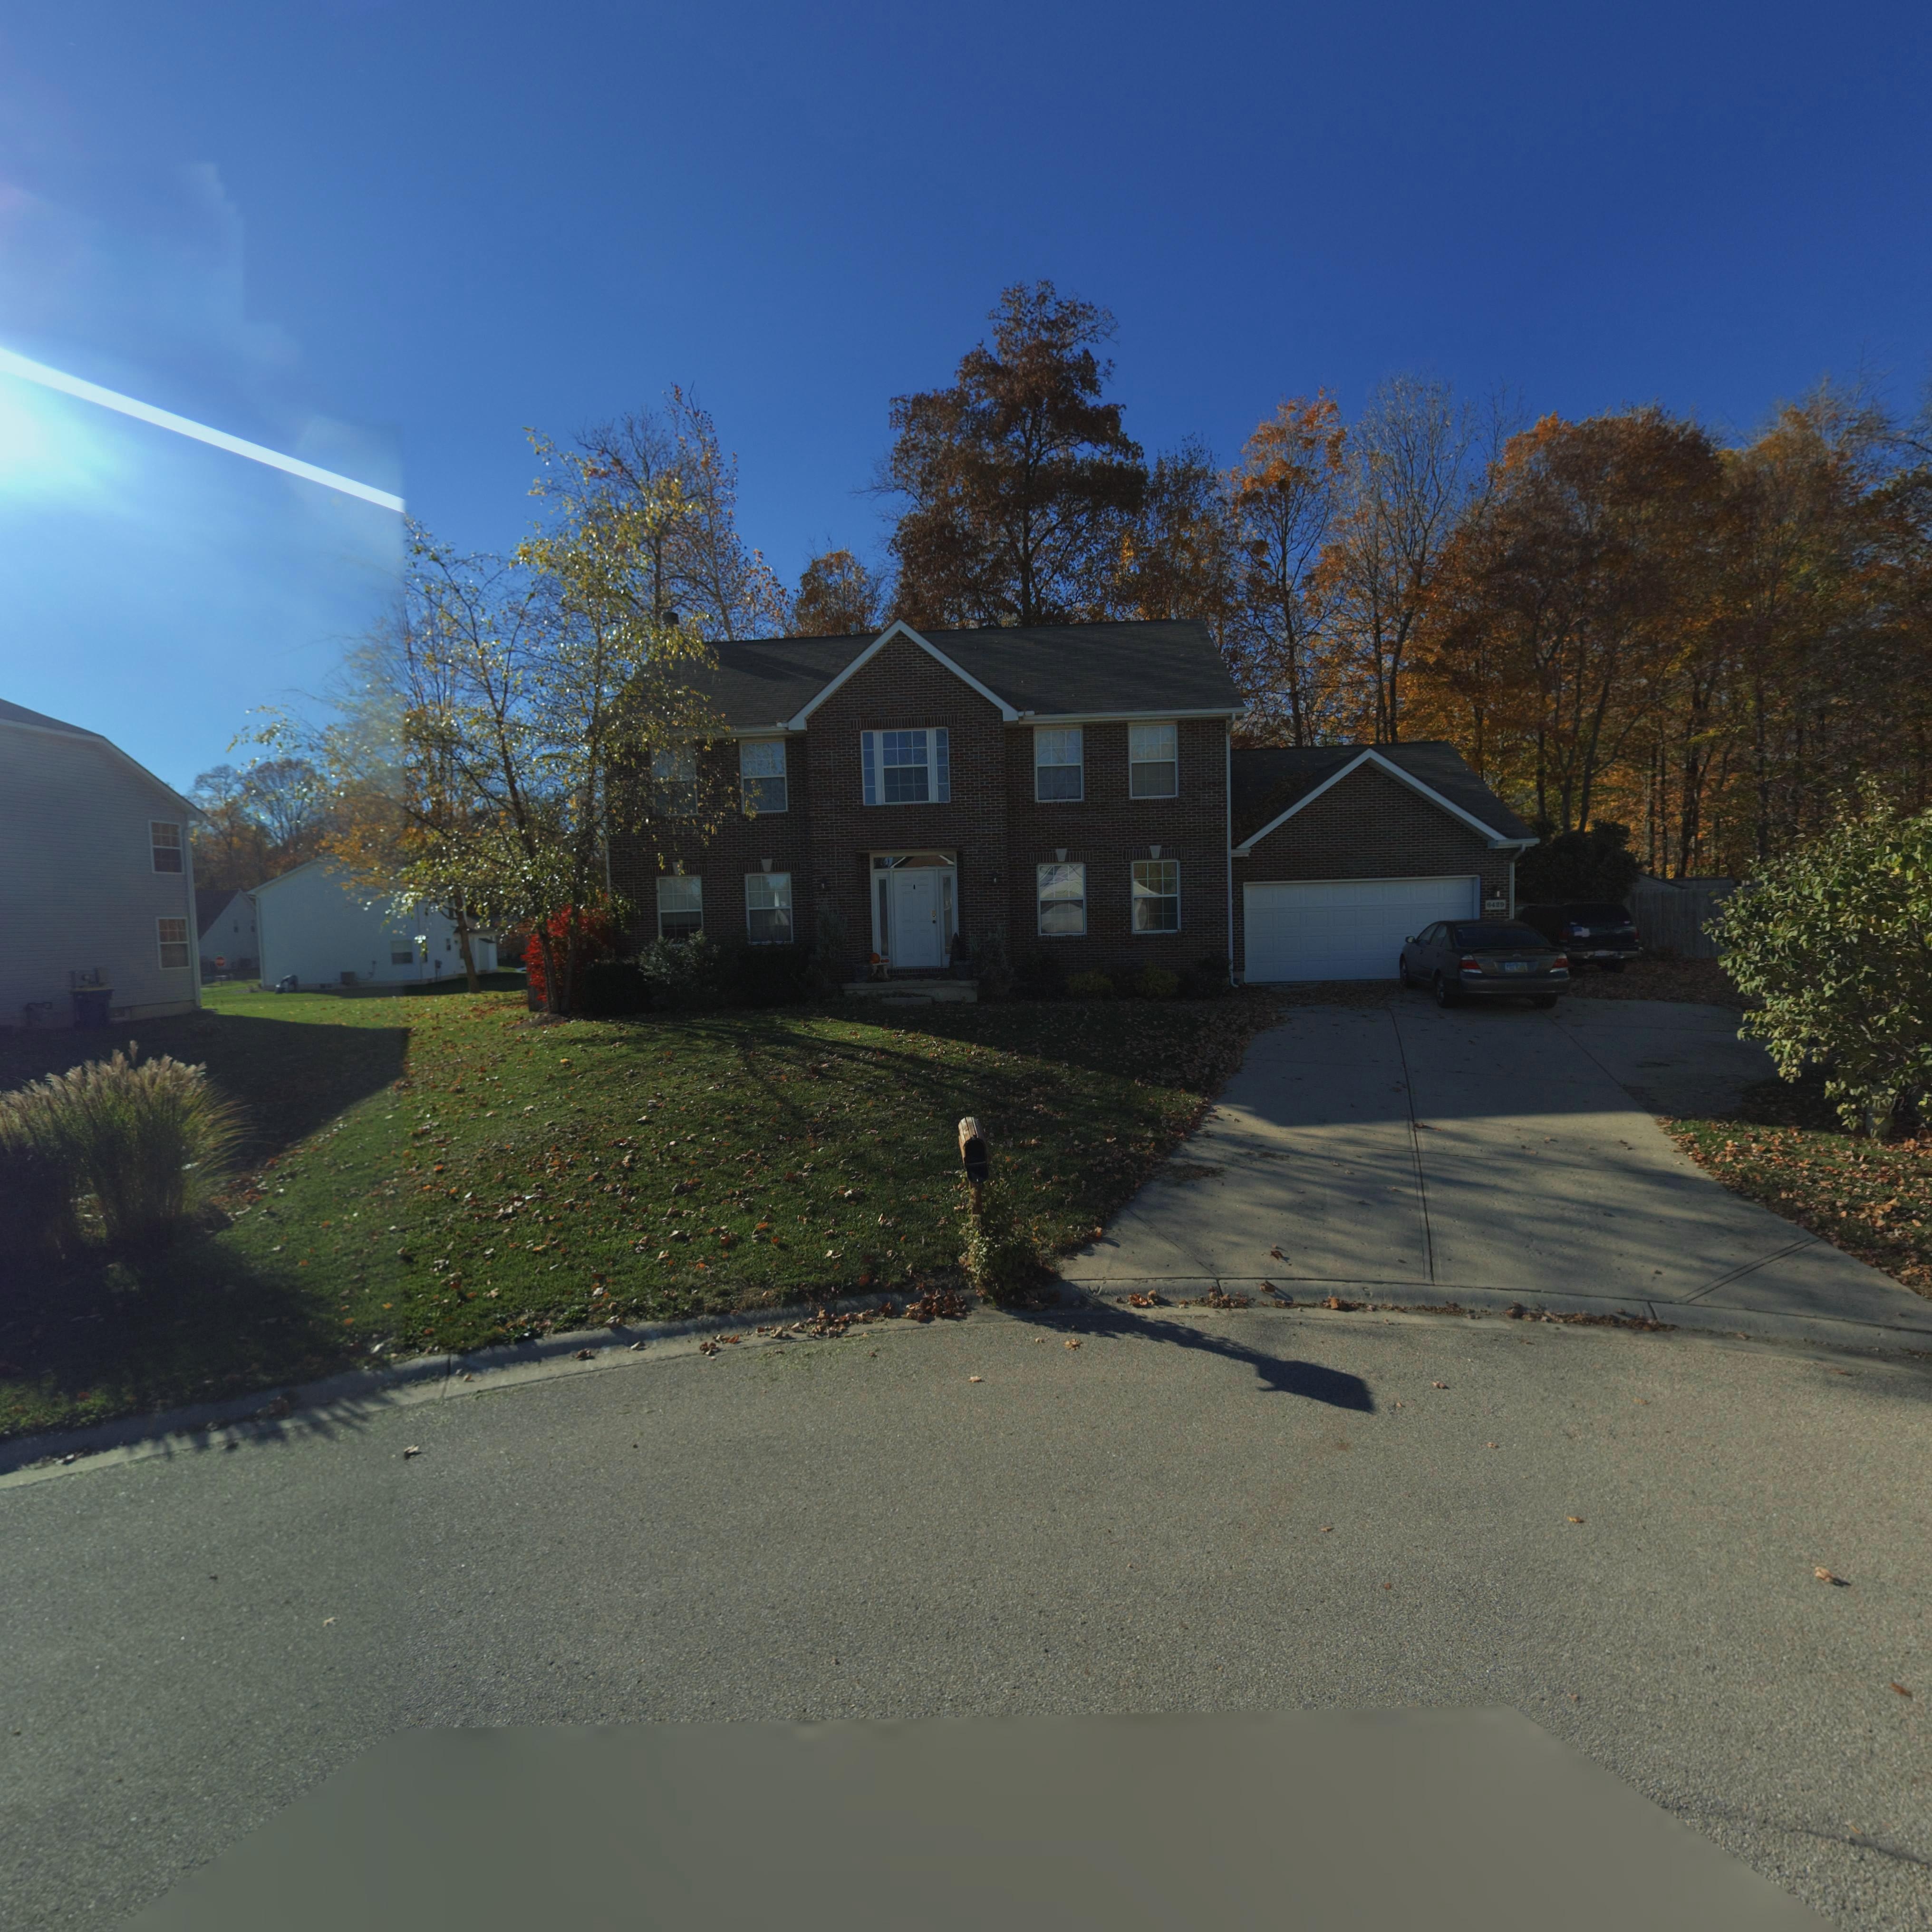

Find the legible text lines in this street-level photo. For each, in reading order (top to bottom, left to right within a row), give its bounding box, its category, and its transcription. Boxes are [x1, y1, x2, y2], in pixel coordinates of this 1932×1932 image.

[1486, 901, 1505, 908] StreetNumber: 642*